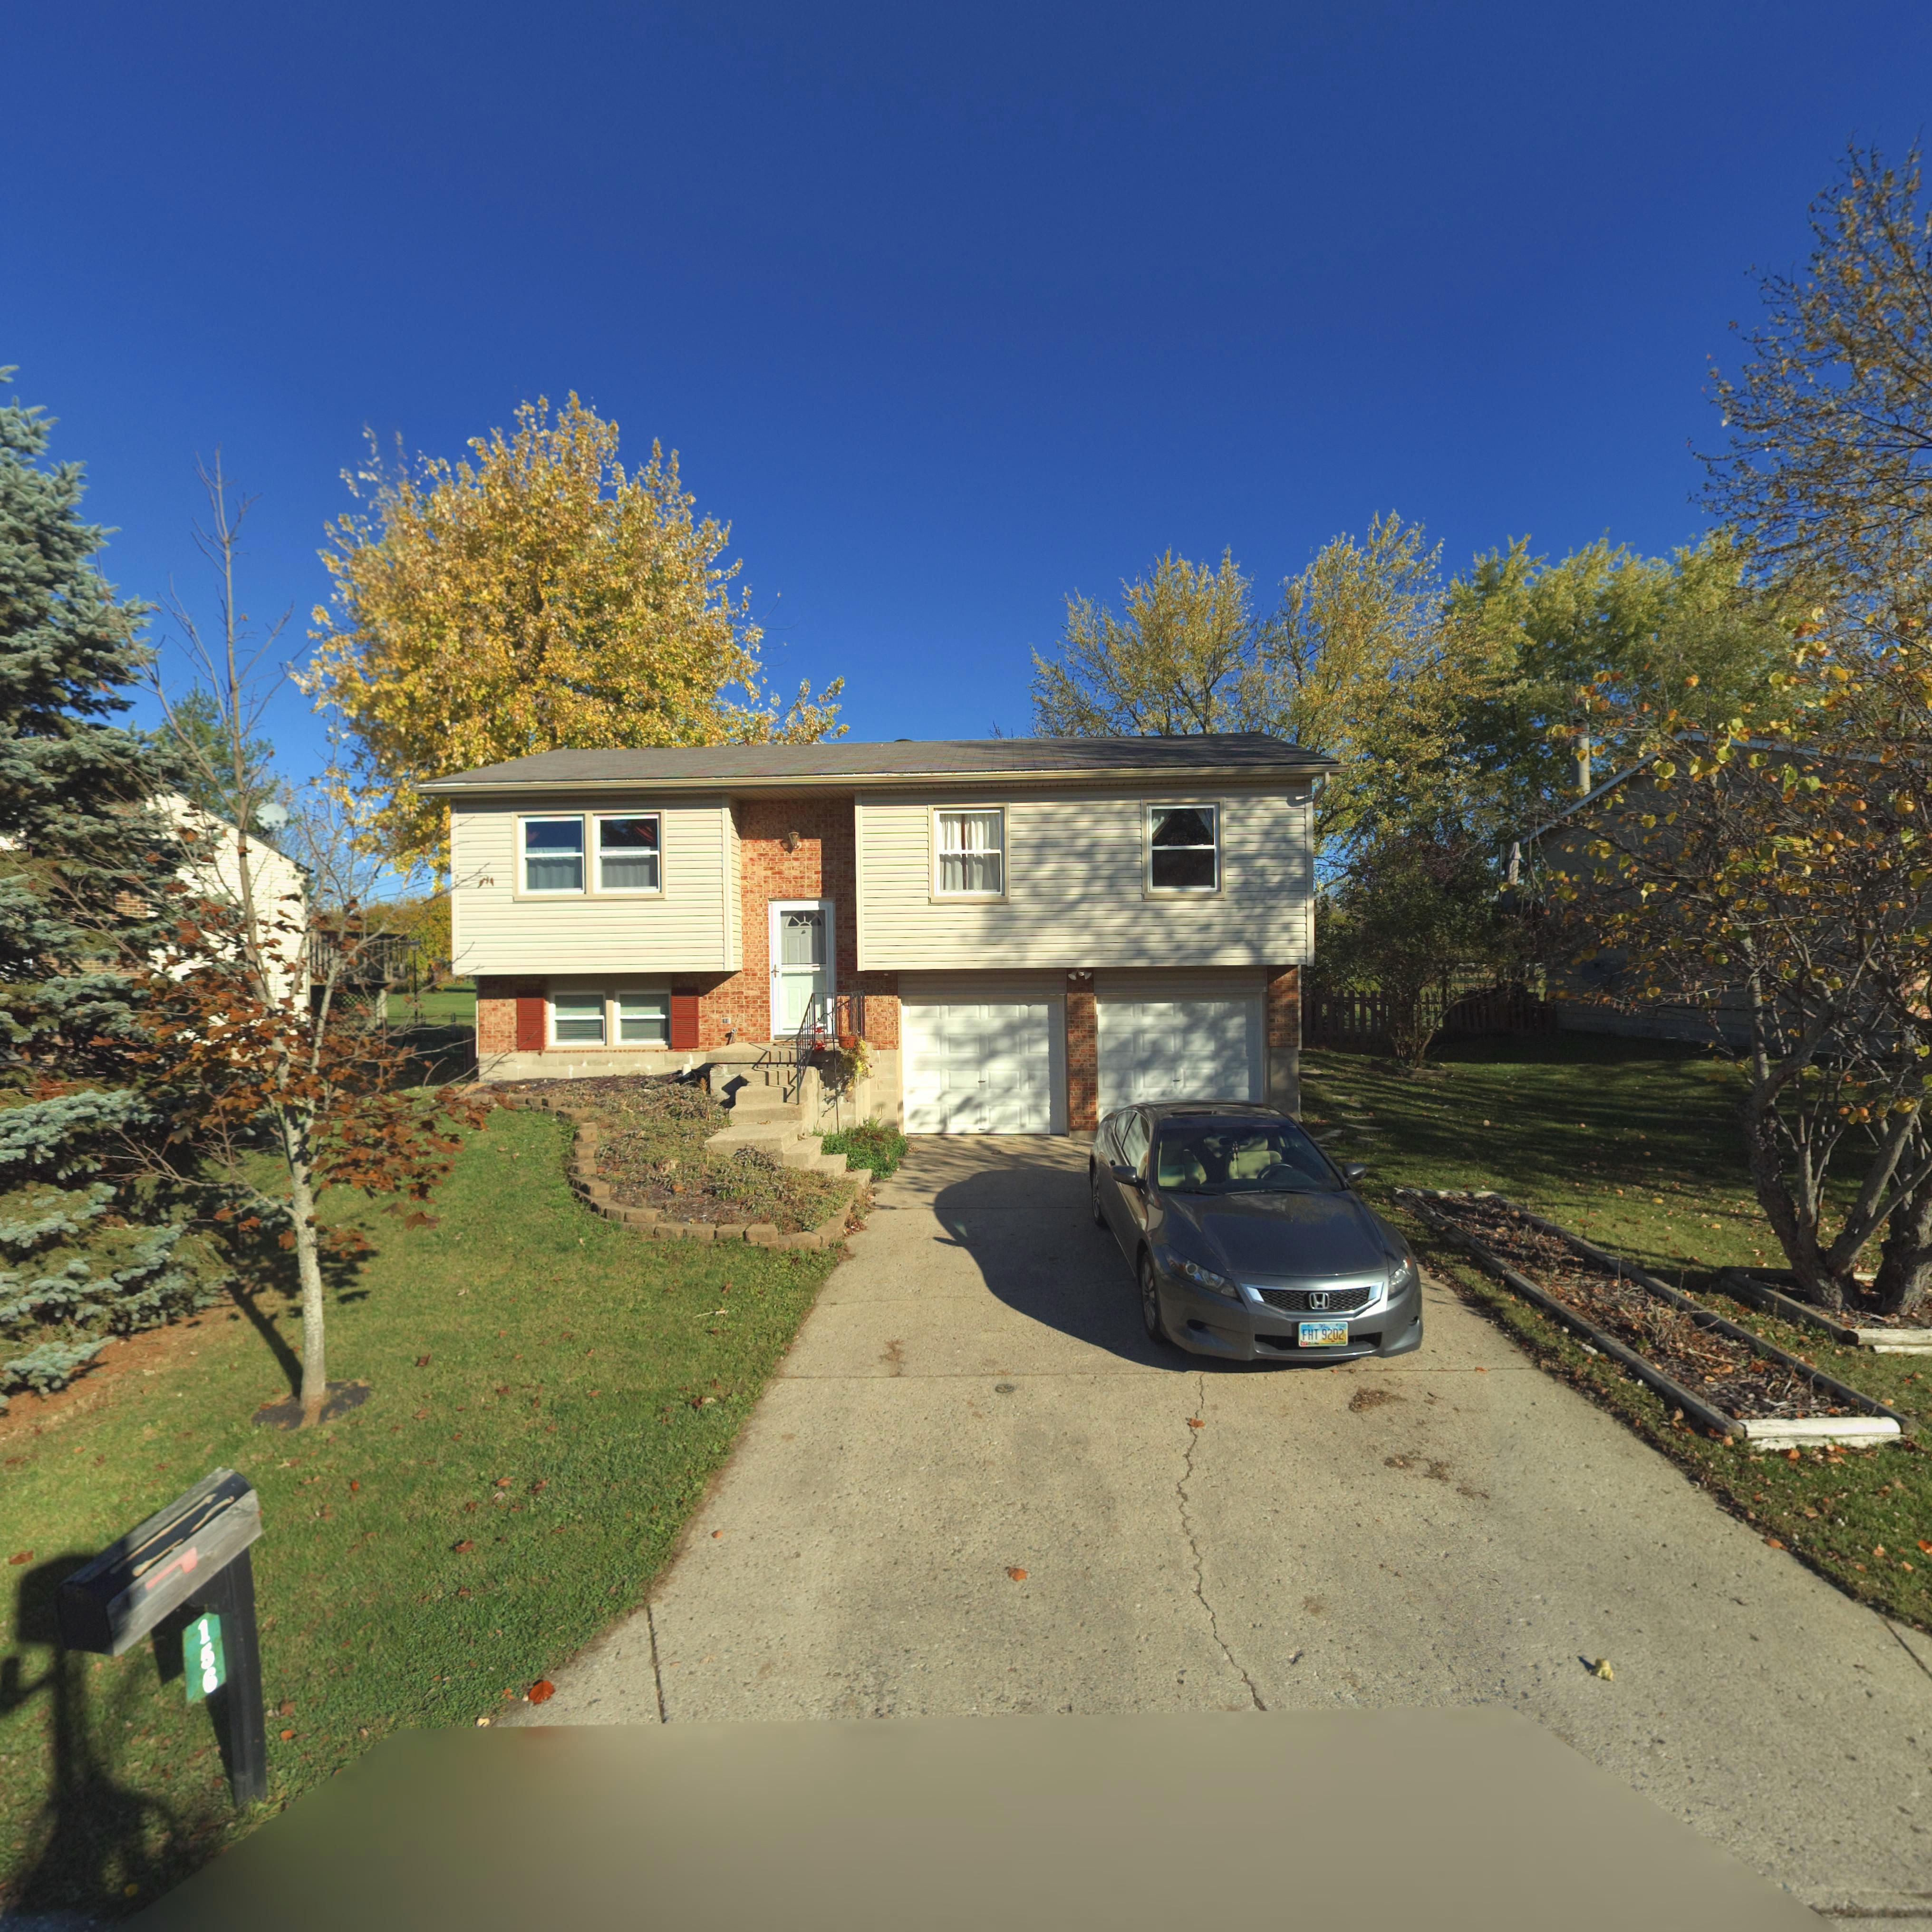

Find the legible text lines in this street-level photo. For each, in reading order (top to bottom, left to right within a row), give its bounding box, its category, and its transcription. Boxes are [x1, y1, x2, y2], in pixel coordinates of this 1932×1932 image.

[193, 1614, 222, 1697] StreetNumber: 156